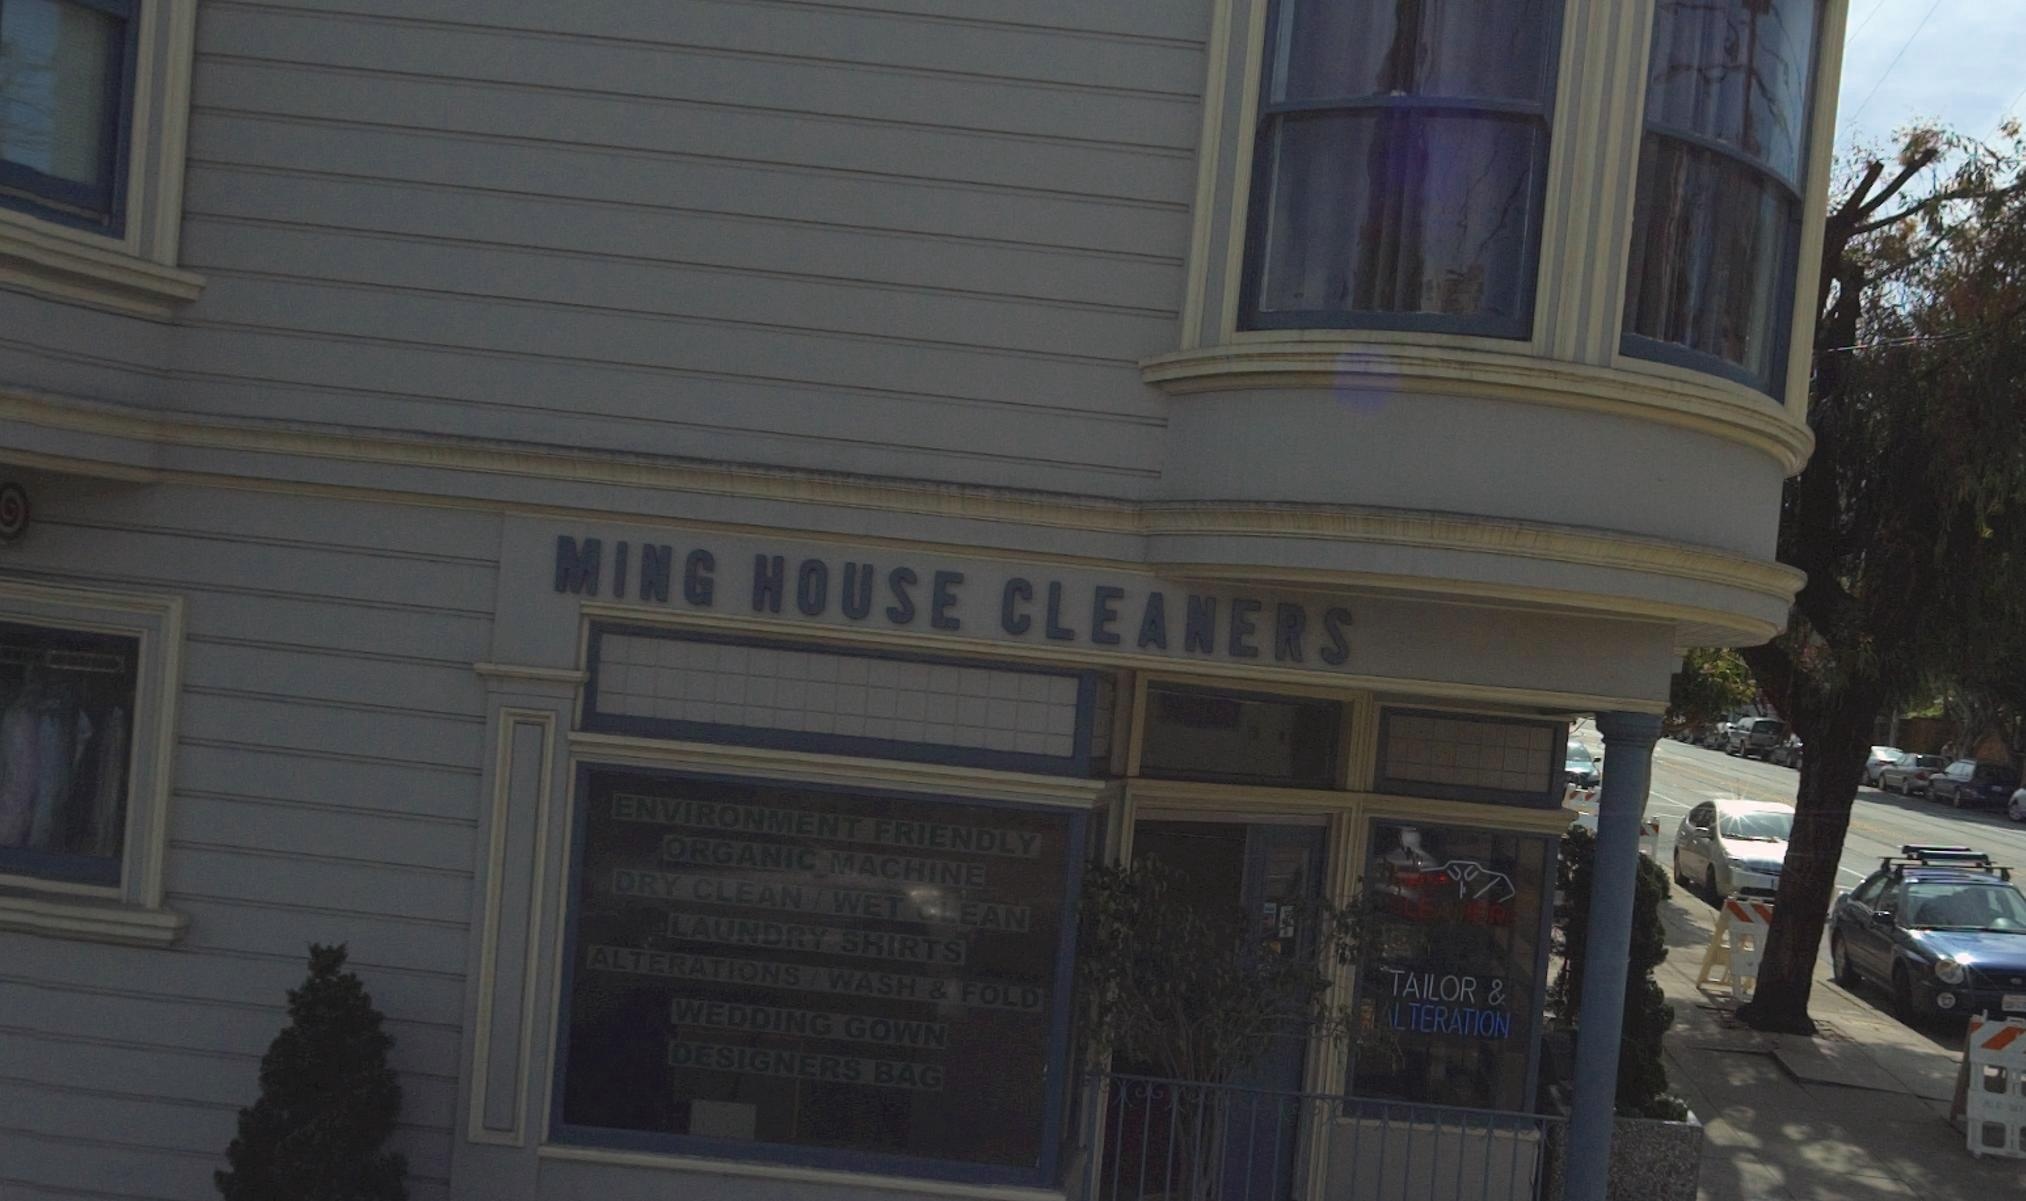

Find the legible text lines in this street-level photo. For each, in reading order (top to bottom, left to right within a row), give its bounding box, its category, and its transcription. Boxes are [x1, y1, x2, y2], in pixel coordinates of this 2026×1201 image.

[551, 531, 1359, 669] BusinessName: Ming House Cleaners
[612, 791, 1042, 856] None: ENVIRONMENT FRIENDLY
[664, 834, 987, 889] None: ORGANIC MACHINE
[612, 868, 1029, 931] None: DRY CLEAN / WET CLEAN
[1385, 893, 1522, 930] None: *LEA*ER*
[669, 912, 966, 965] None: LAUNDRY SHIRTS
[586, 945, 1039, 1011] None: ALTERATIONS / WASH & FOLD
[1386, 968, 1511, 1009] None: TAILOR &
[672, 998, 948, 1049] None: WEDDING GOWN
[1375, 997, 1512, 1043] None: ALTERATION
[668, 1040, 945, 1090] None: DESIGNERS BAG